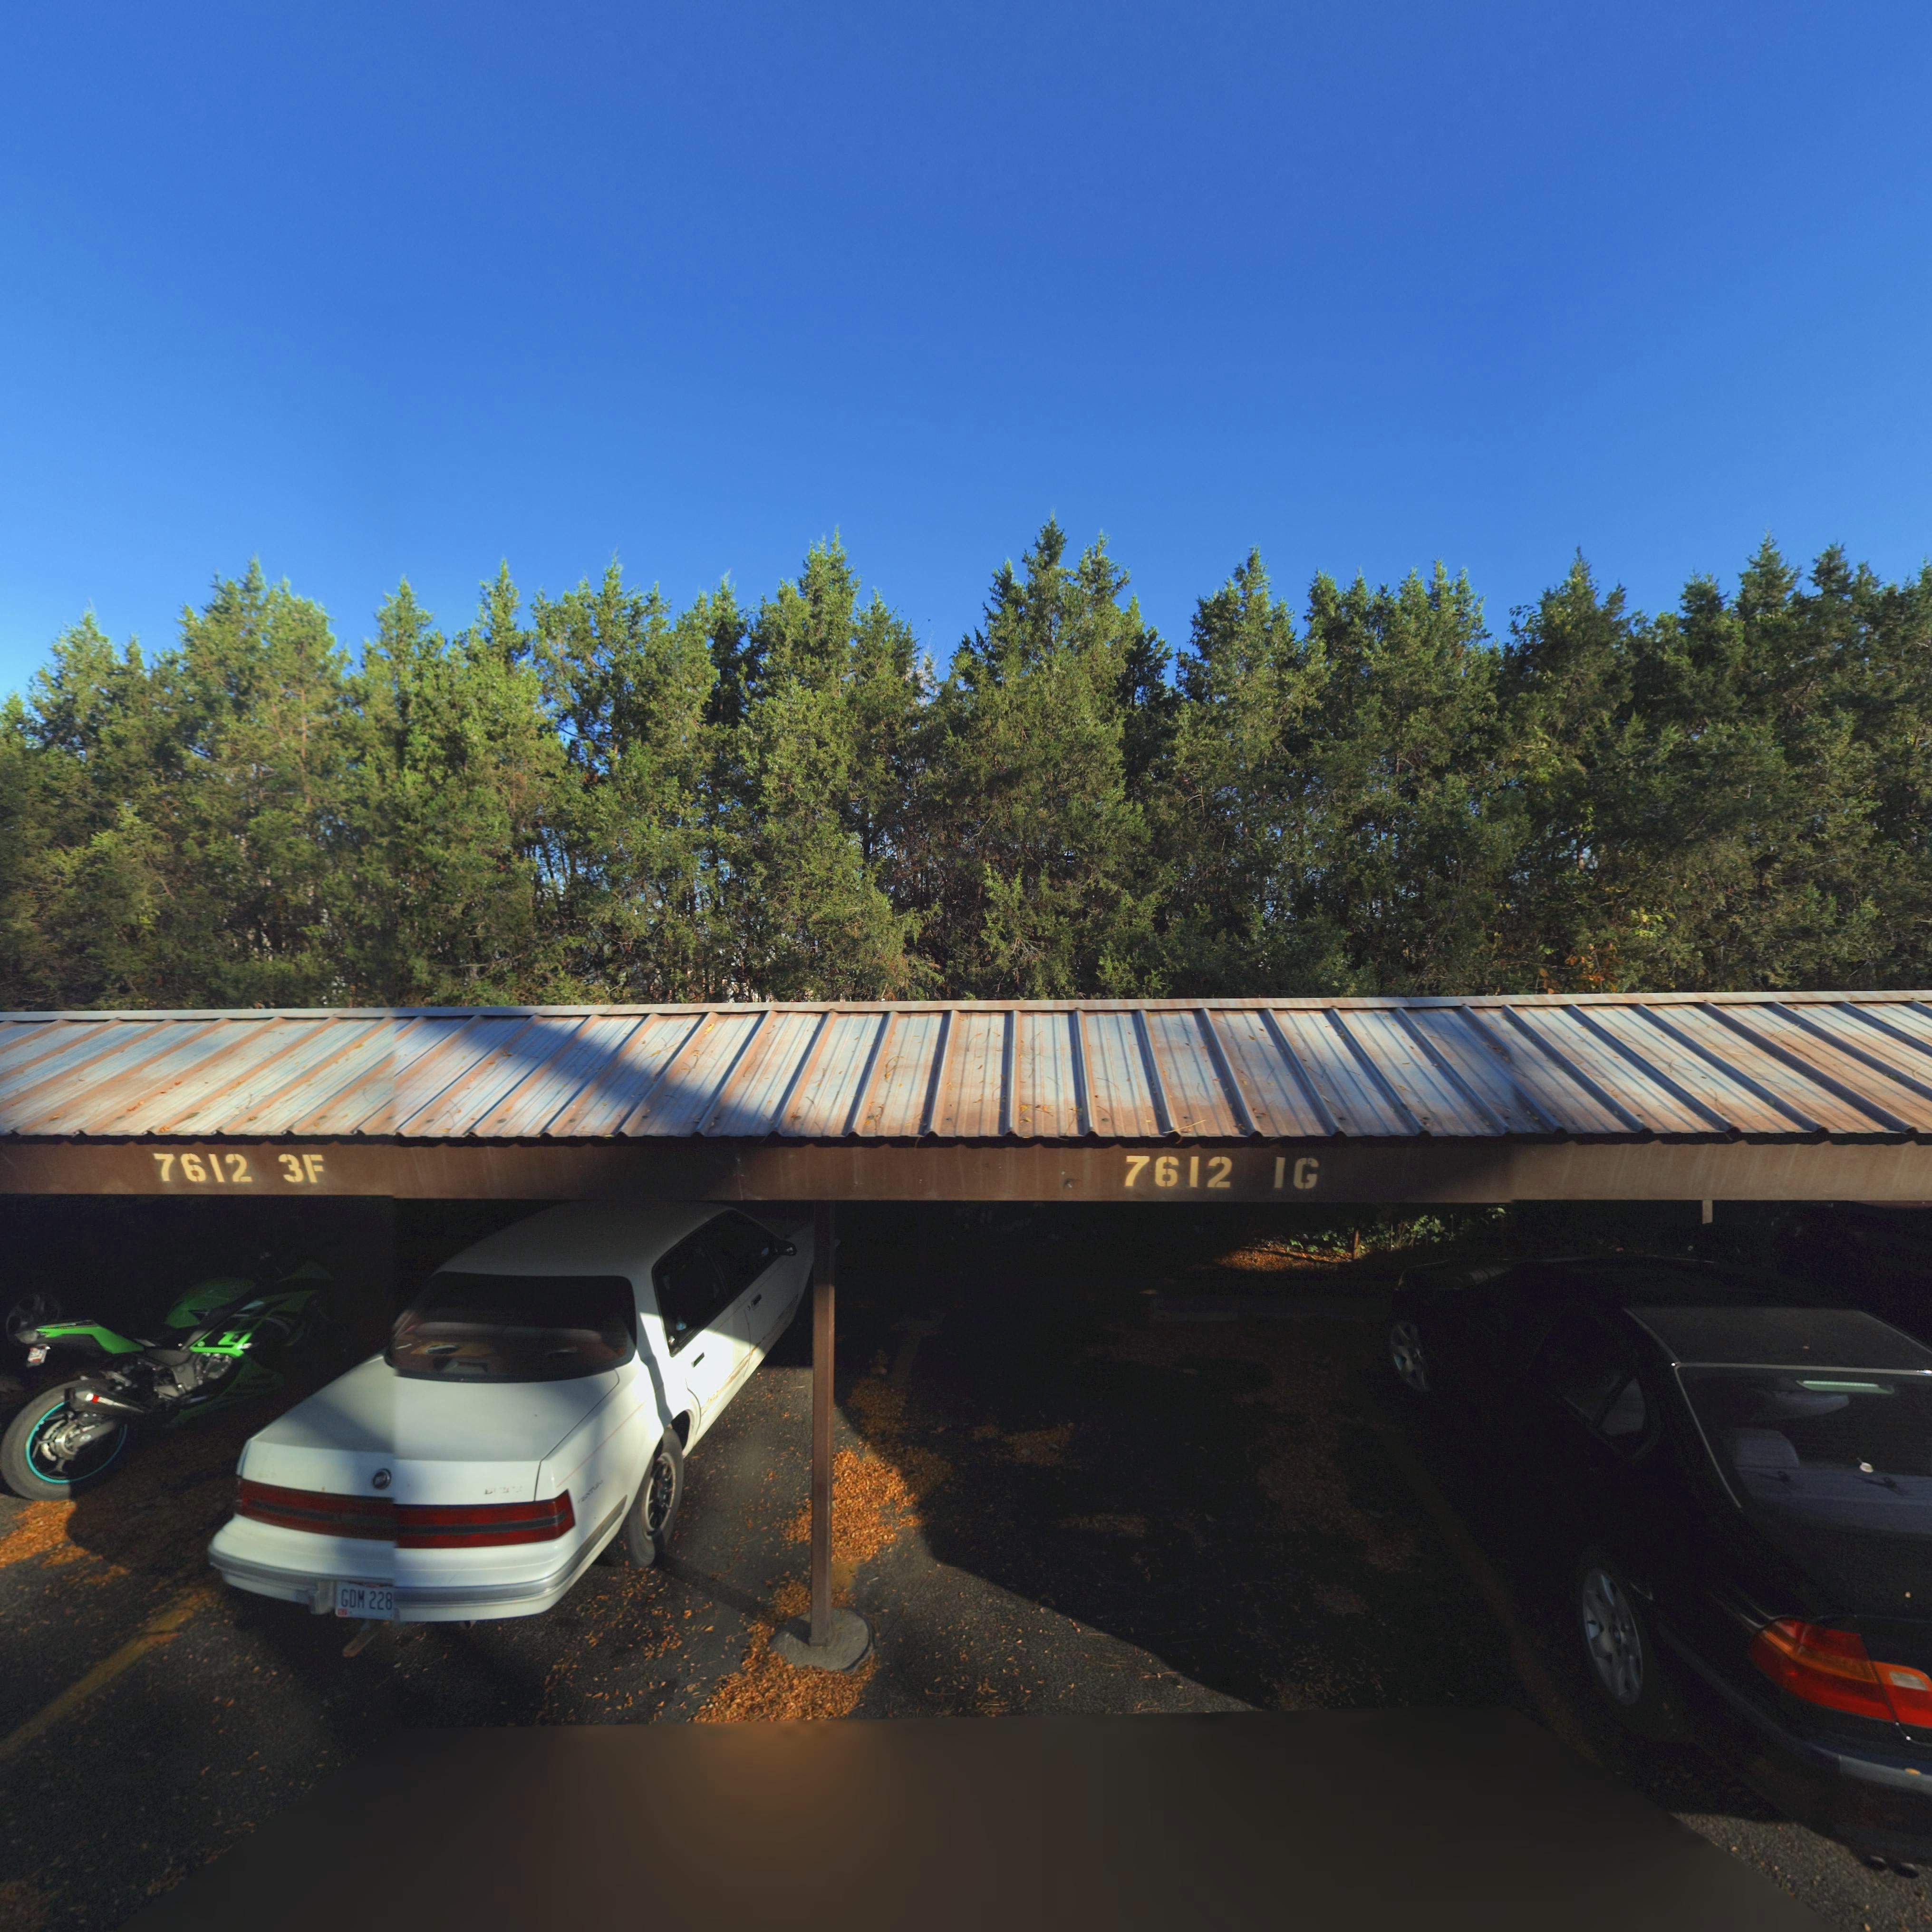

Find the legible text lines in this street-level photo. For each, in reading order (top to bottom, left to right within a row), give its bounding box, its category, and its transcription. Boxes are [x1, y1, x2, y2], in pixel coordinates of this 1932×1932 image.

[151, 1151, 255, 1186] StreetNumber: 7612
[276, 1151, 326, 1185] StreetNumber: 3F
[1122, 1153, 1235, 1190] StreetNumber: 7612
[1270, 1154, 1323, 1191] StreetNumber: 1G